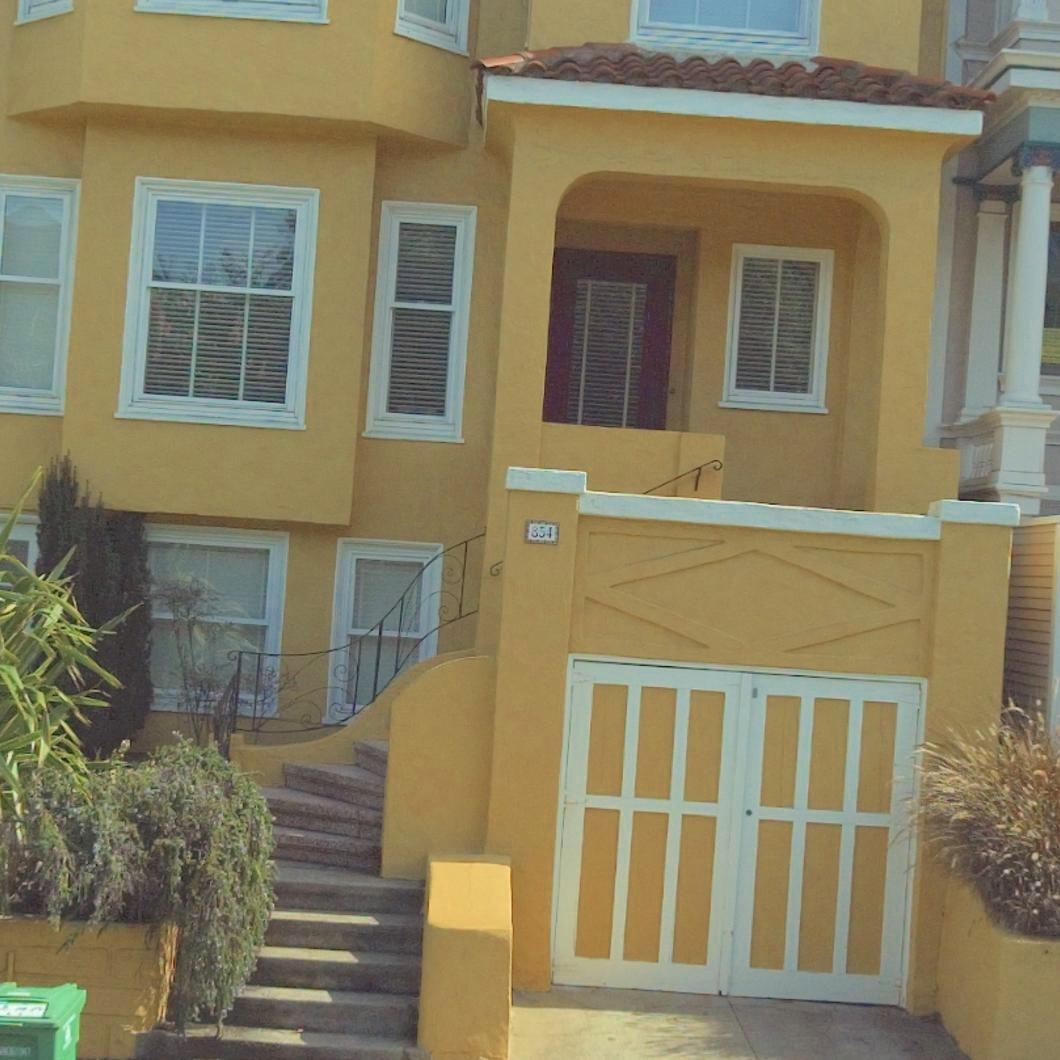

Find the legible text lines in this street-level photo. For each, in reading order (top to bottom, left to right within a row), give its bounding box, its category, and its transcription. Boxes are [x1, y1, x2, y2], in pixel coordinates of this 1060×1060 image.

[528, 523, 554, 541] StreetNumber: 8*4